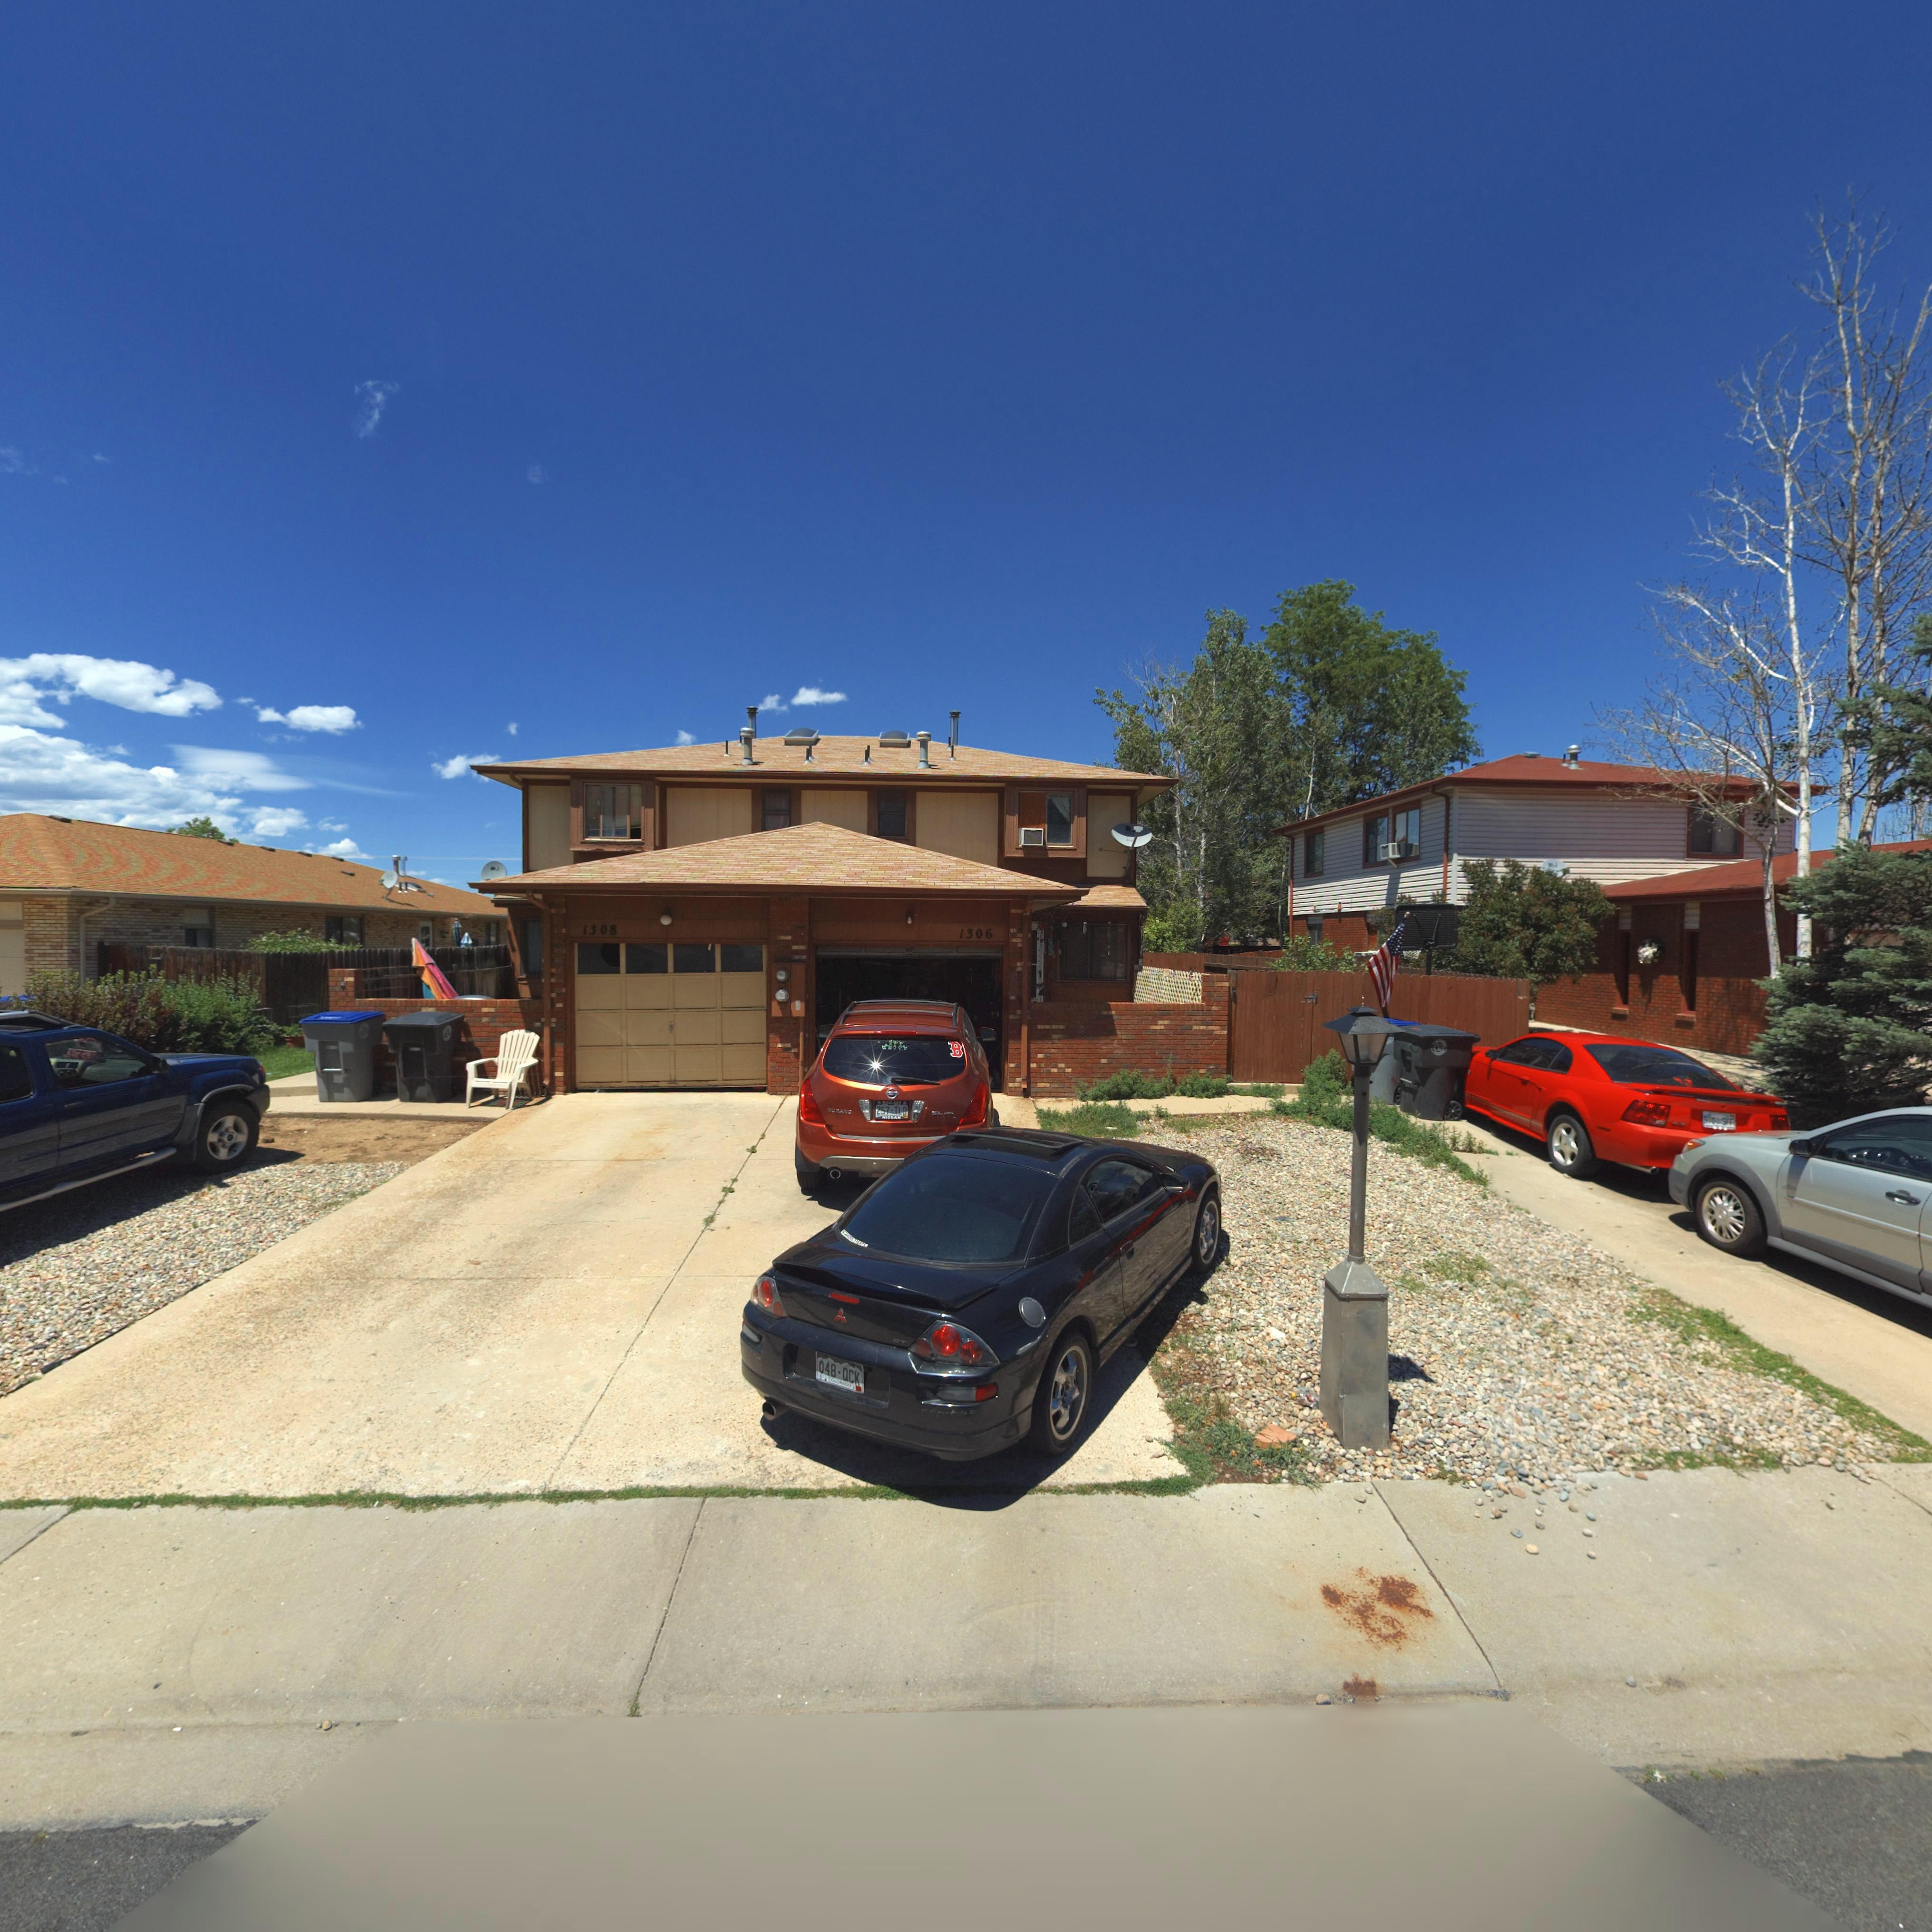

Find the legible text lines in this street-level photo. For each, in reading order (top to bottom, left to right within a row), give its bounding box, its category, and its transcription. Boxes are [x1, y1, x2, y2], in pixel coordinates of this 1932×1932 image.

[582, 924, 617, 936] StreetNumber: 1308
[958, 928, 993, 940] StreetNumber: 1306